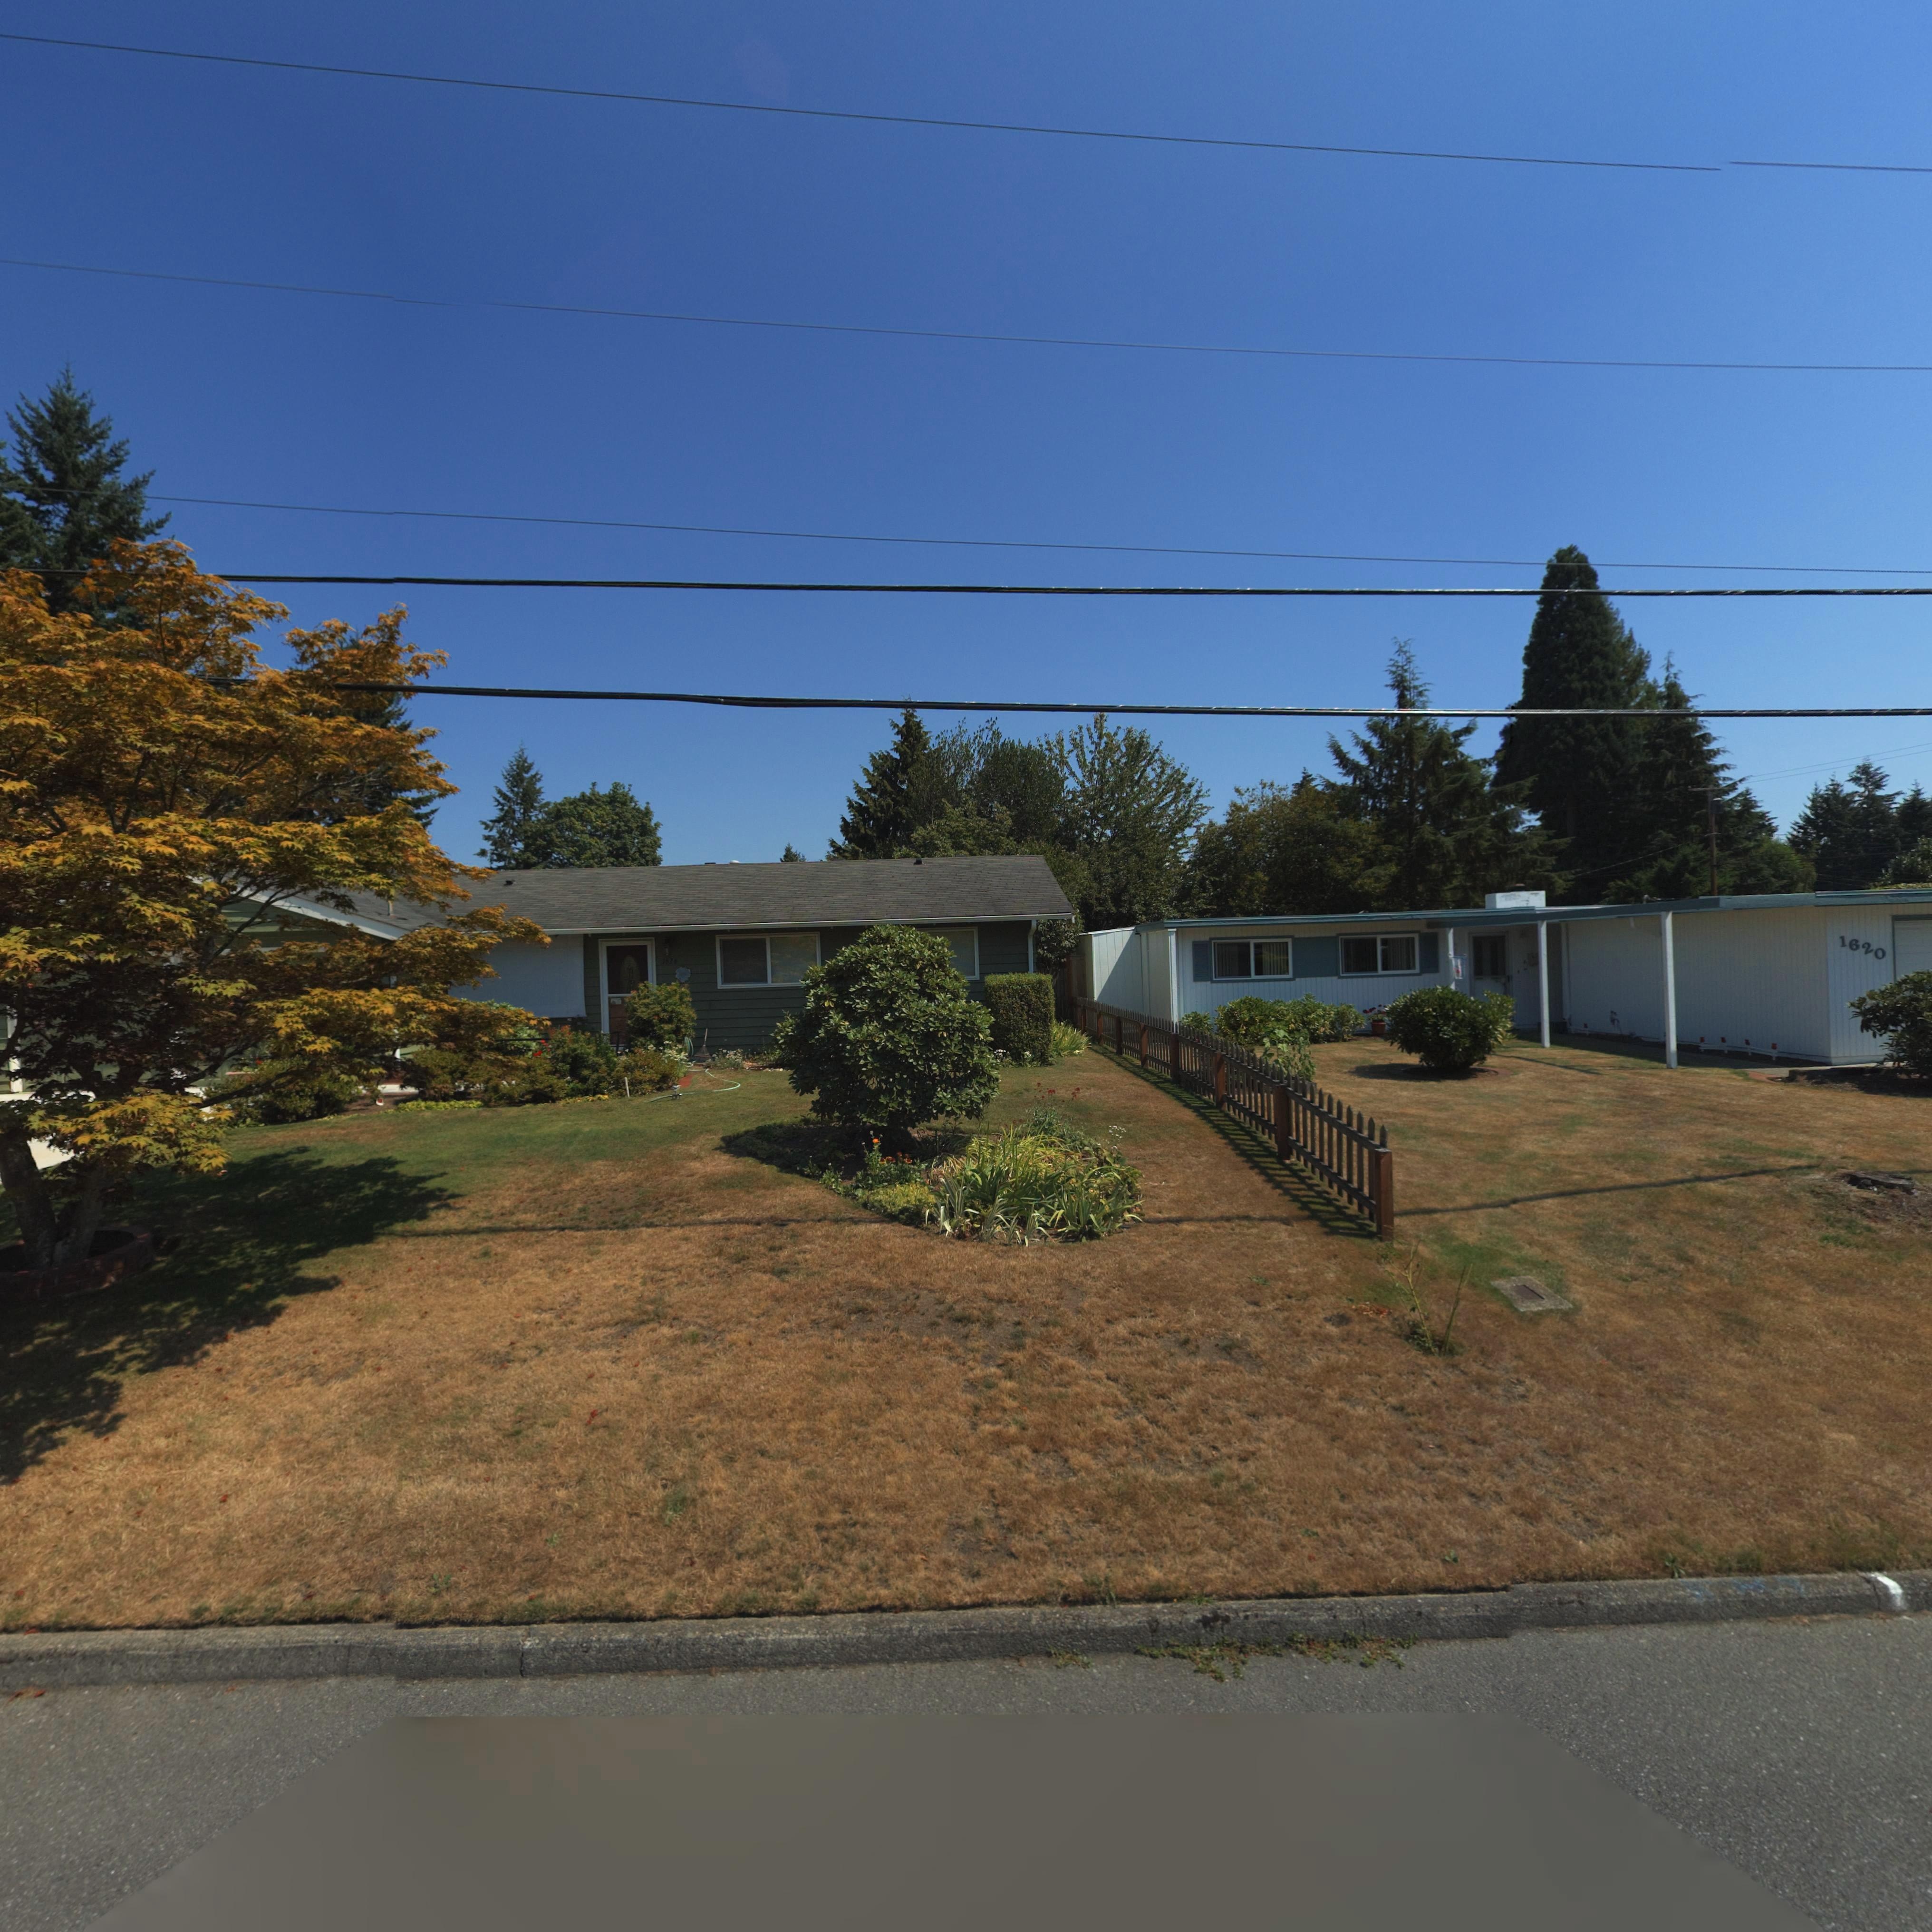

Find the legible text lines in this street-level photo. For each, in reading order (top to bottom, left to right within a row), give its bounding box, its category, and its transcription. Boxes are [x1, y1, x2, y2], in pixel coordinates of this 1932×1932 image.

[1838, 933, 1886, 962] StreetNumber: 1620